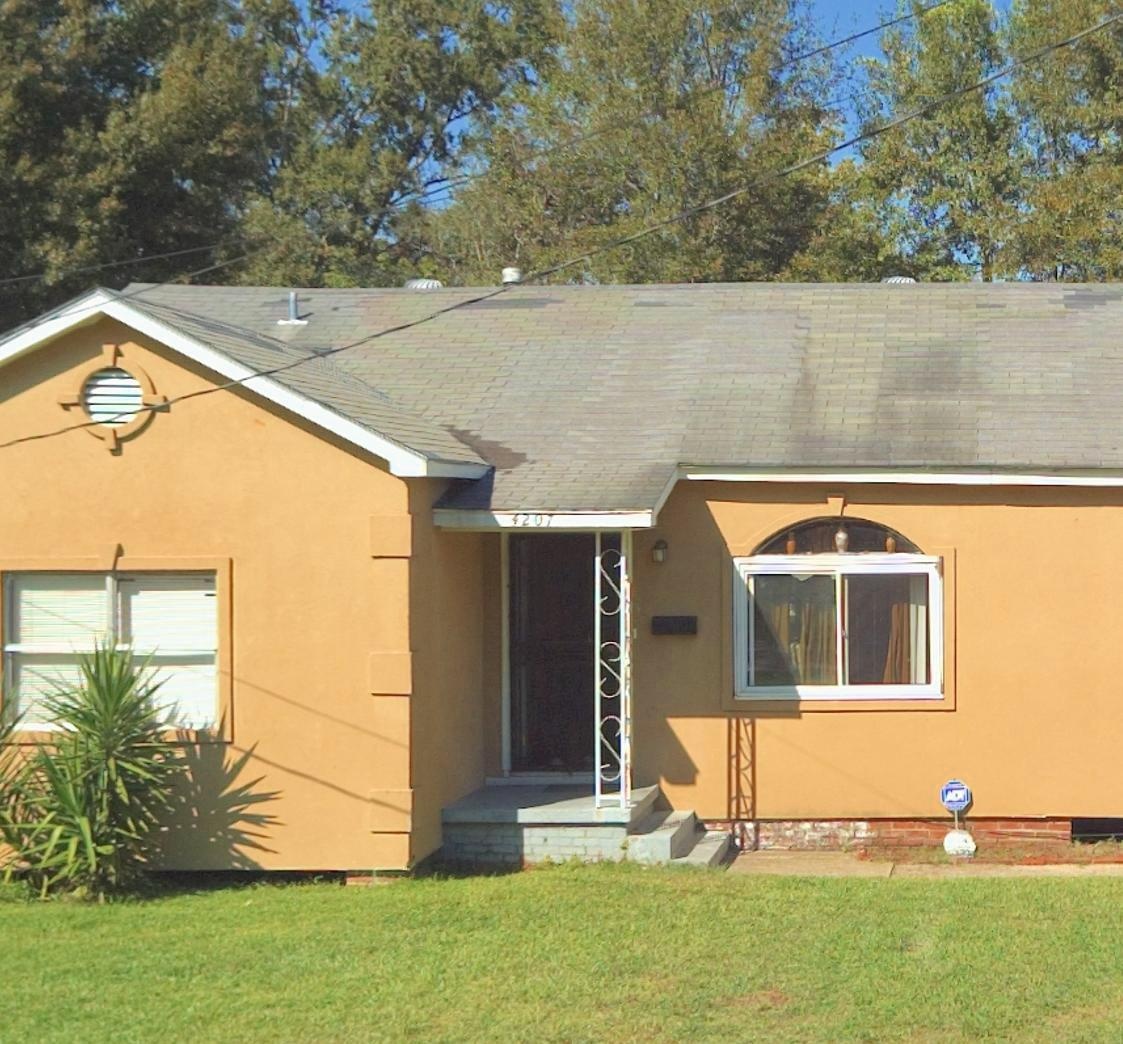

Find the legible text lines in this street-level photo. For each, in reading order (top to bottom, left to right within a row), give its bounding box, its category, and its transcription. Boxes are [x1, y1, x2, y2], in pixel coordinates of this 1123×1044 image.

[512, 512, 556, 528] StreetNumber: 4207